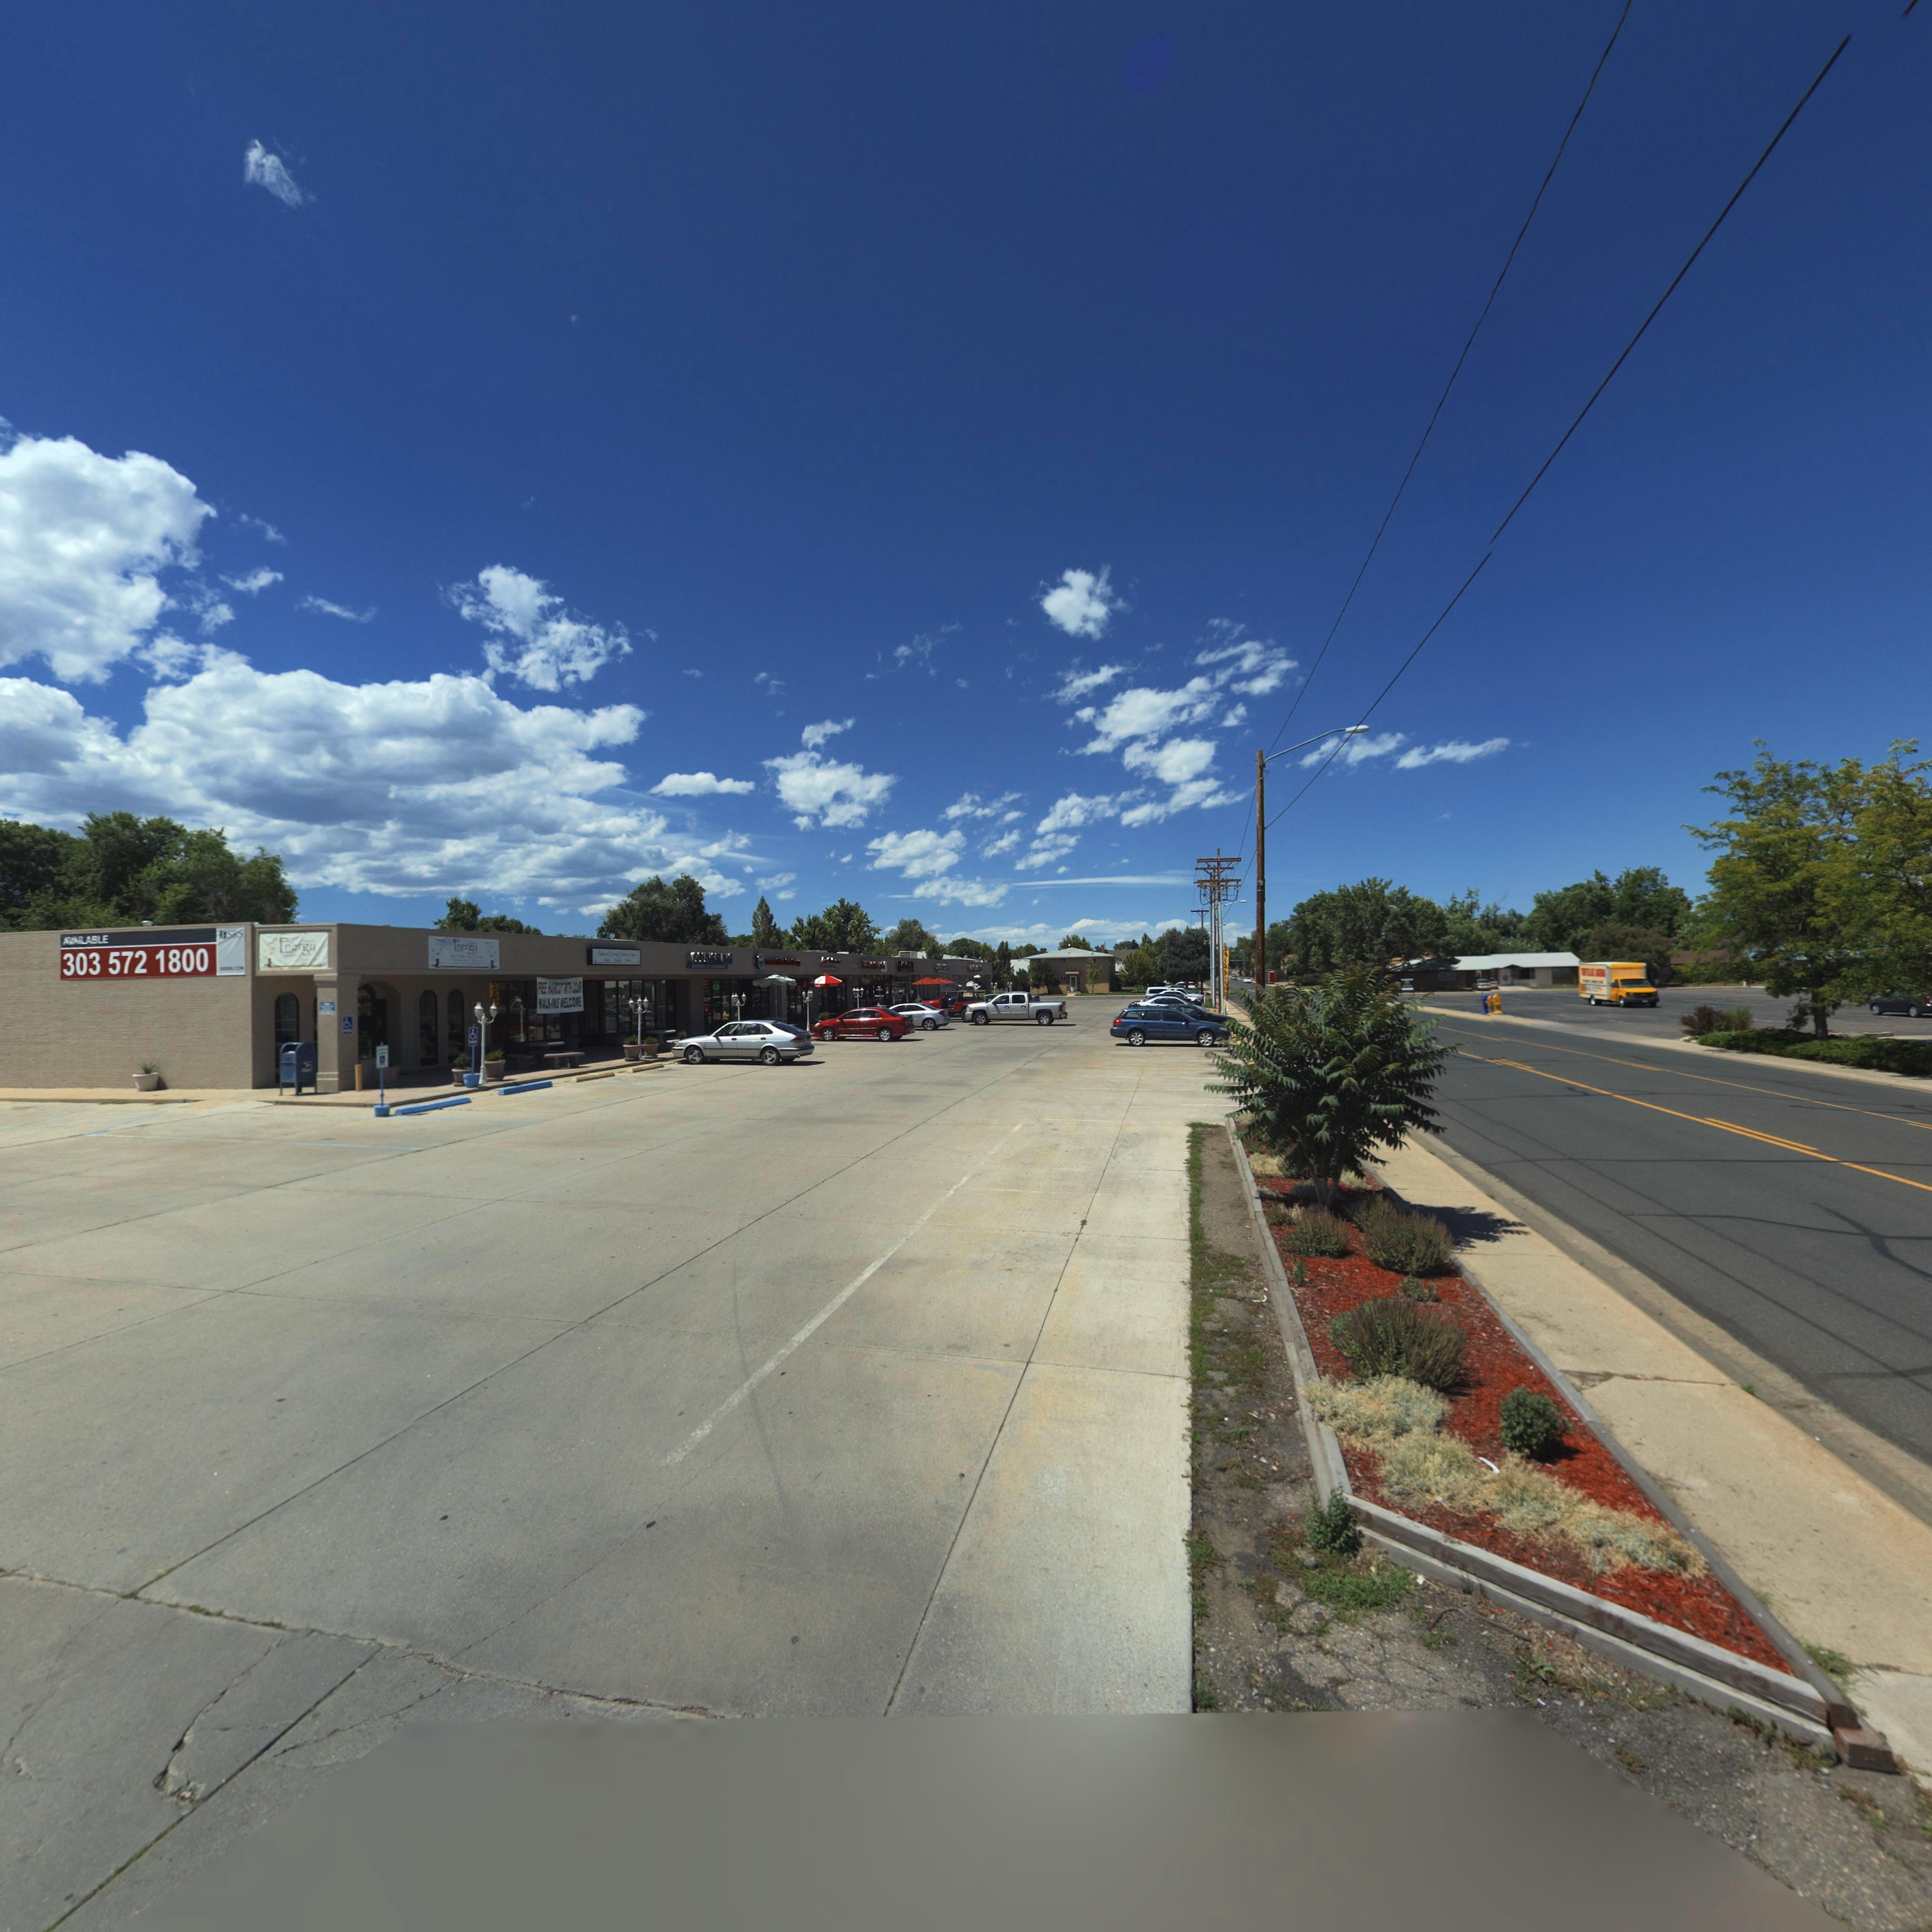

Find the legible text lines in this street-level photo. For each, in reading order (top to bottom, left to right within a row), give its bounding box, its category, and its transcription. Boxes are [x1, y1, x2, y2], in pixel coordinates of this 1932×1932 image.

[279, 937, 316, 956] BusinessName: Energy
[453, 938, 477, 955] BusinessName: Energy
[596, 949, 636, 957] BusinessName: S*** E**** S***
[693, 951, 733, 964] BusinessName: COUNSELING
[692, 964, 726, 968] BusinessName: SERVICES OF LONGMONT